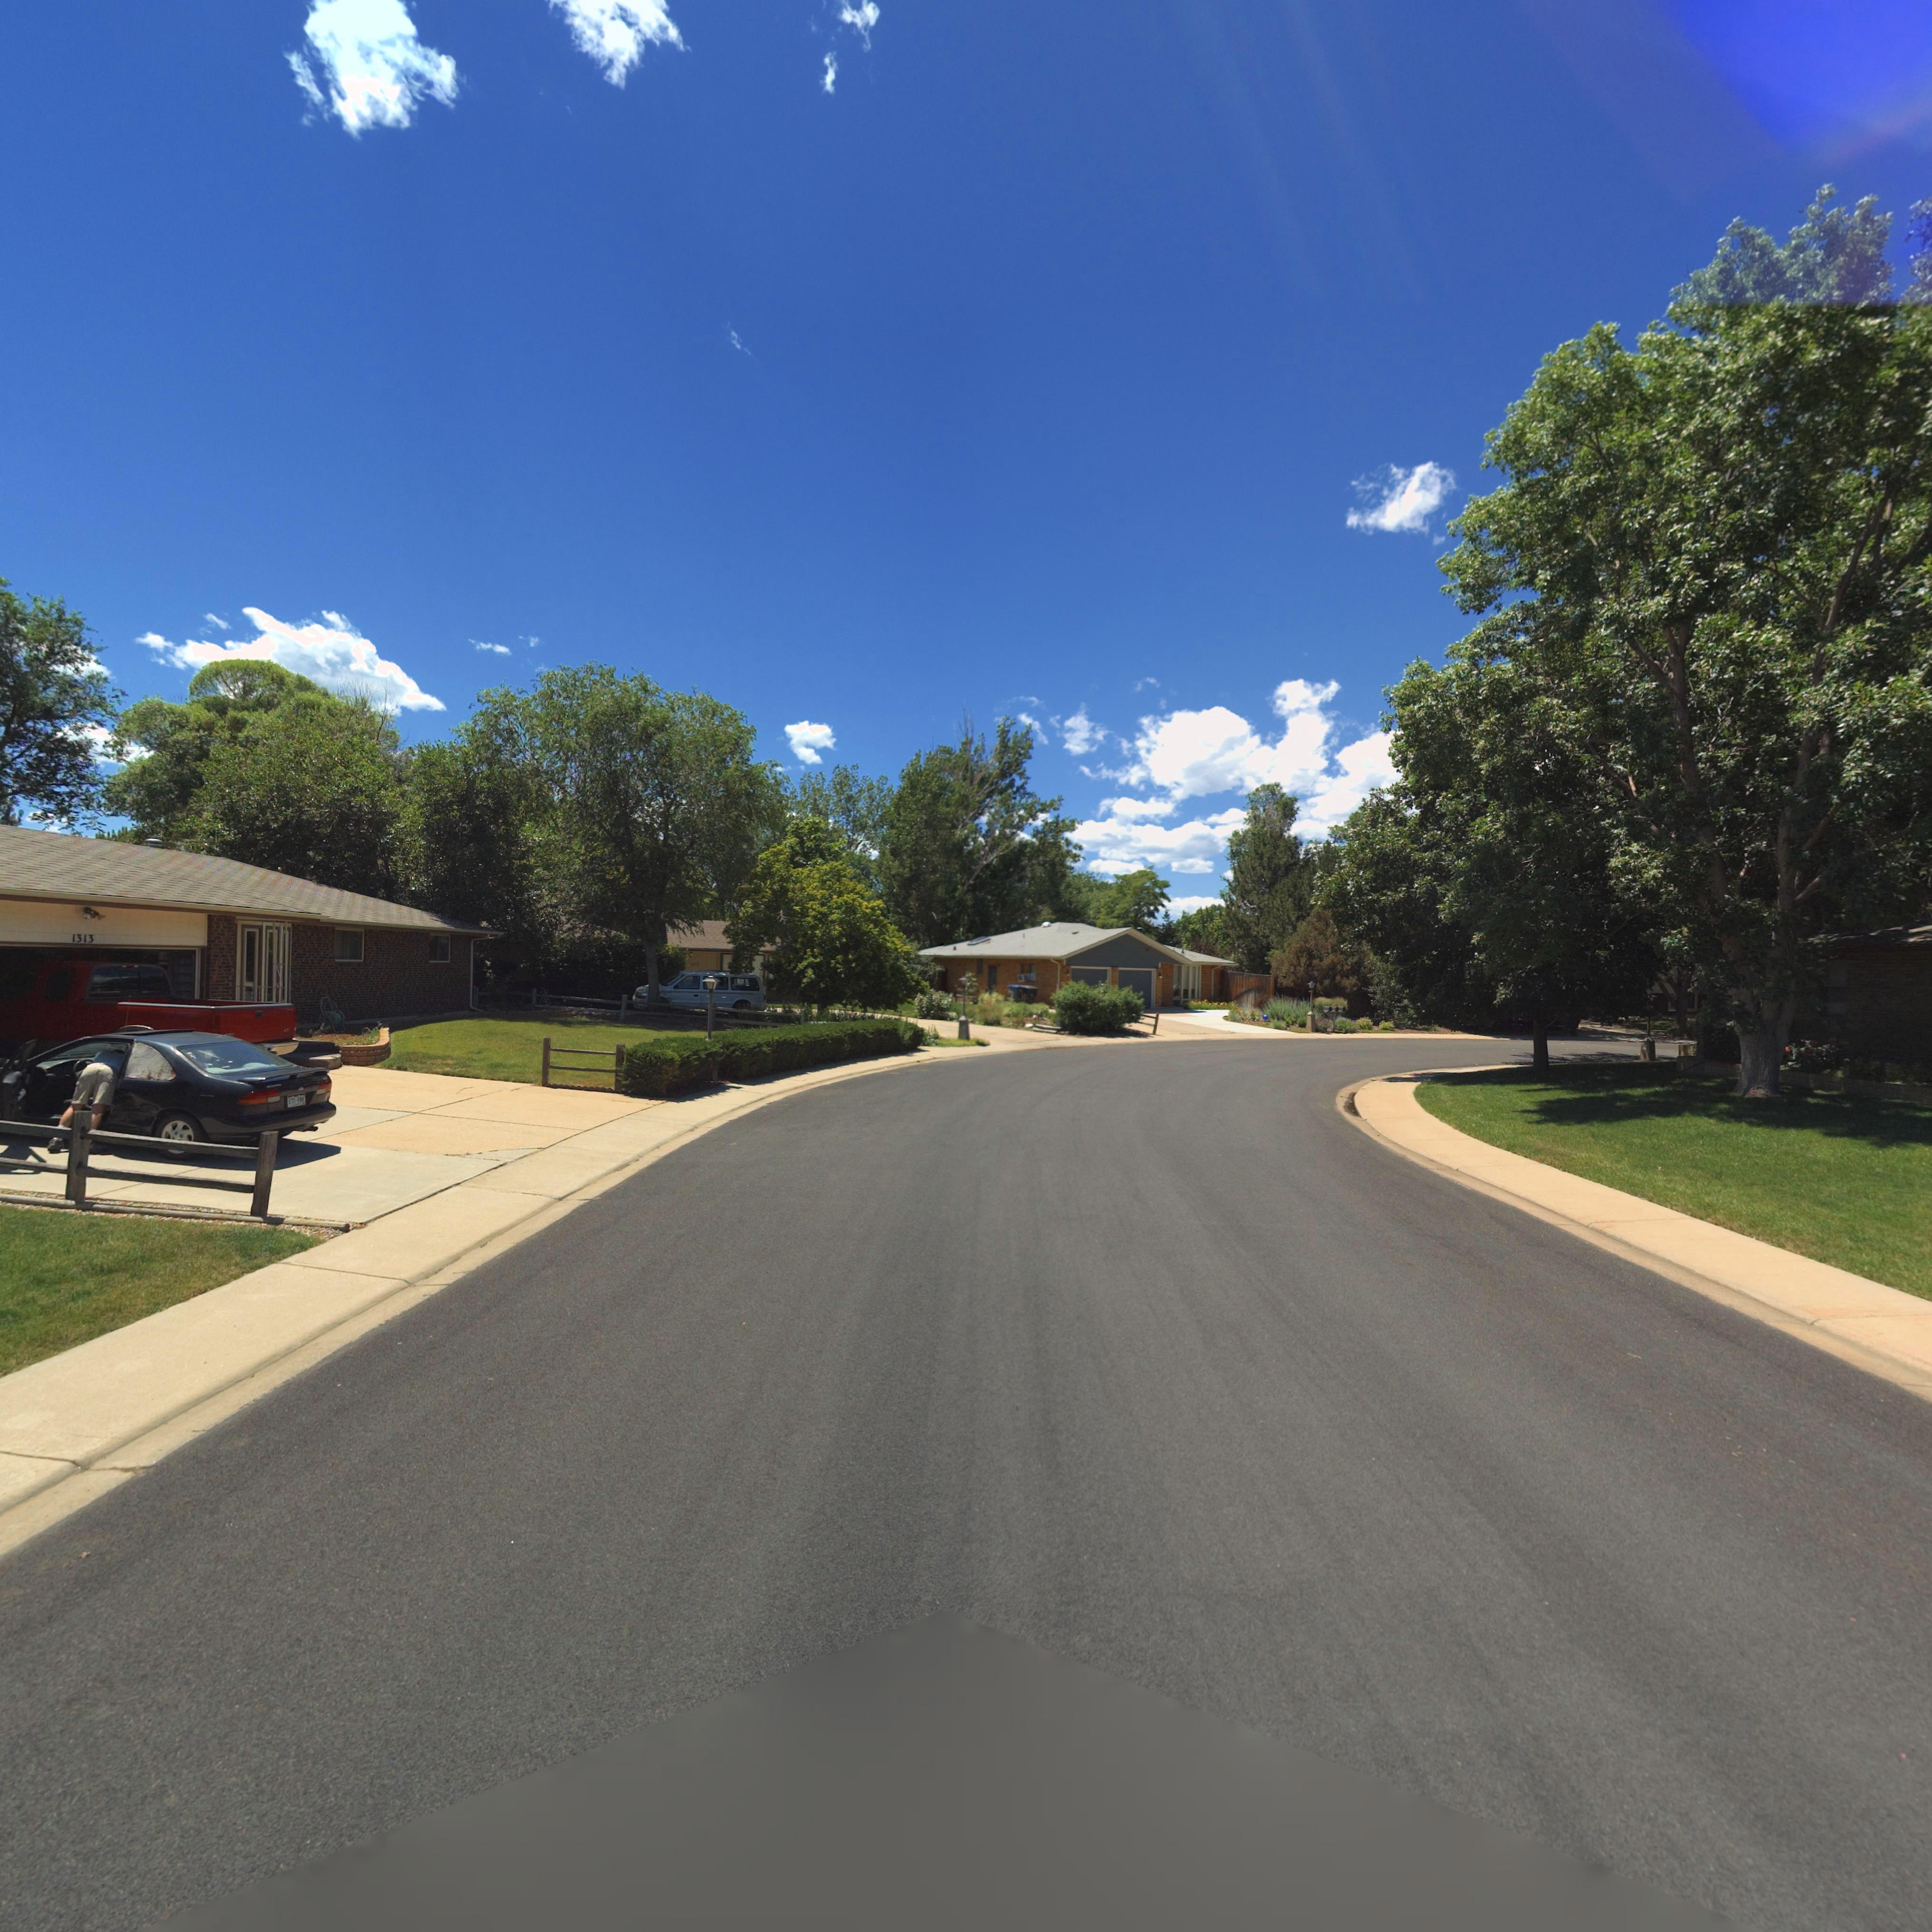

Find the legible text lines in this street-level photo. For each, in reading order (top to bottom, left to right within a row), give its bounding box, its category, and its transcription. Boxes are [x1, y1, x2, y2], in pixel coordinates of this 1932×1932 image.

[72, 933, 94, 944] StreetNumber: 1313